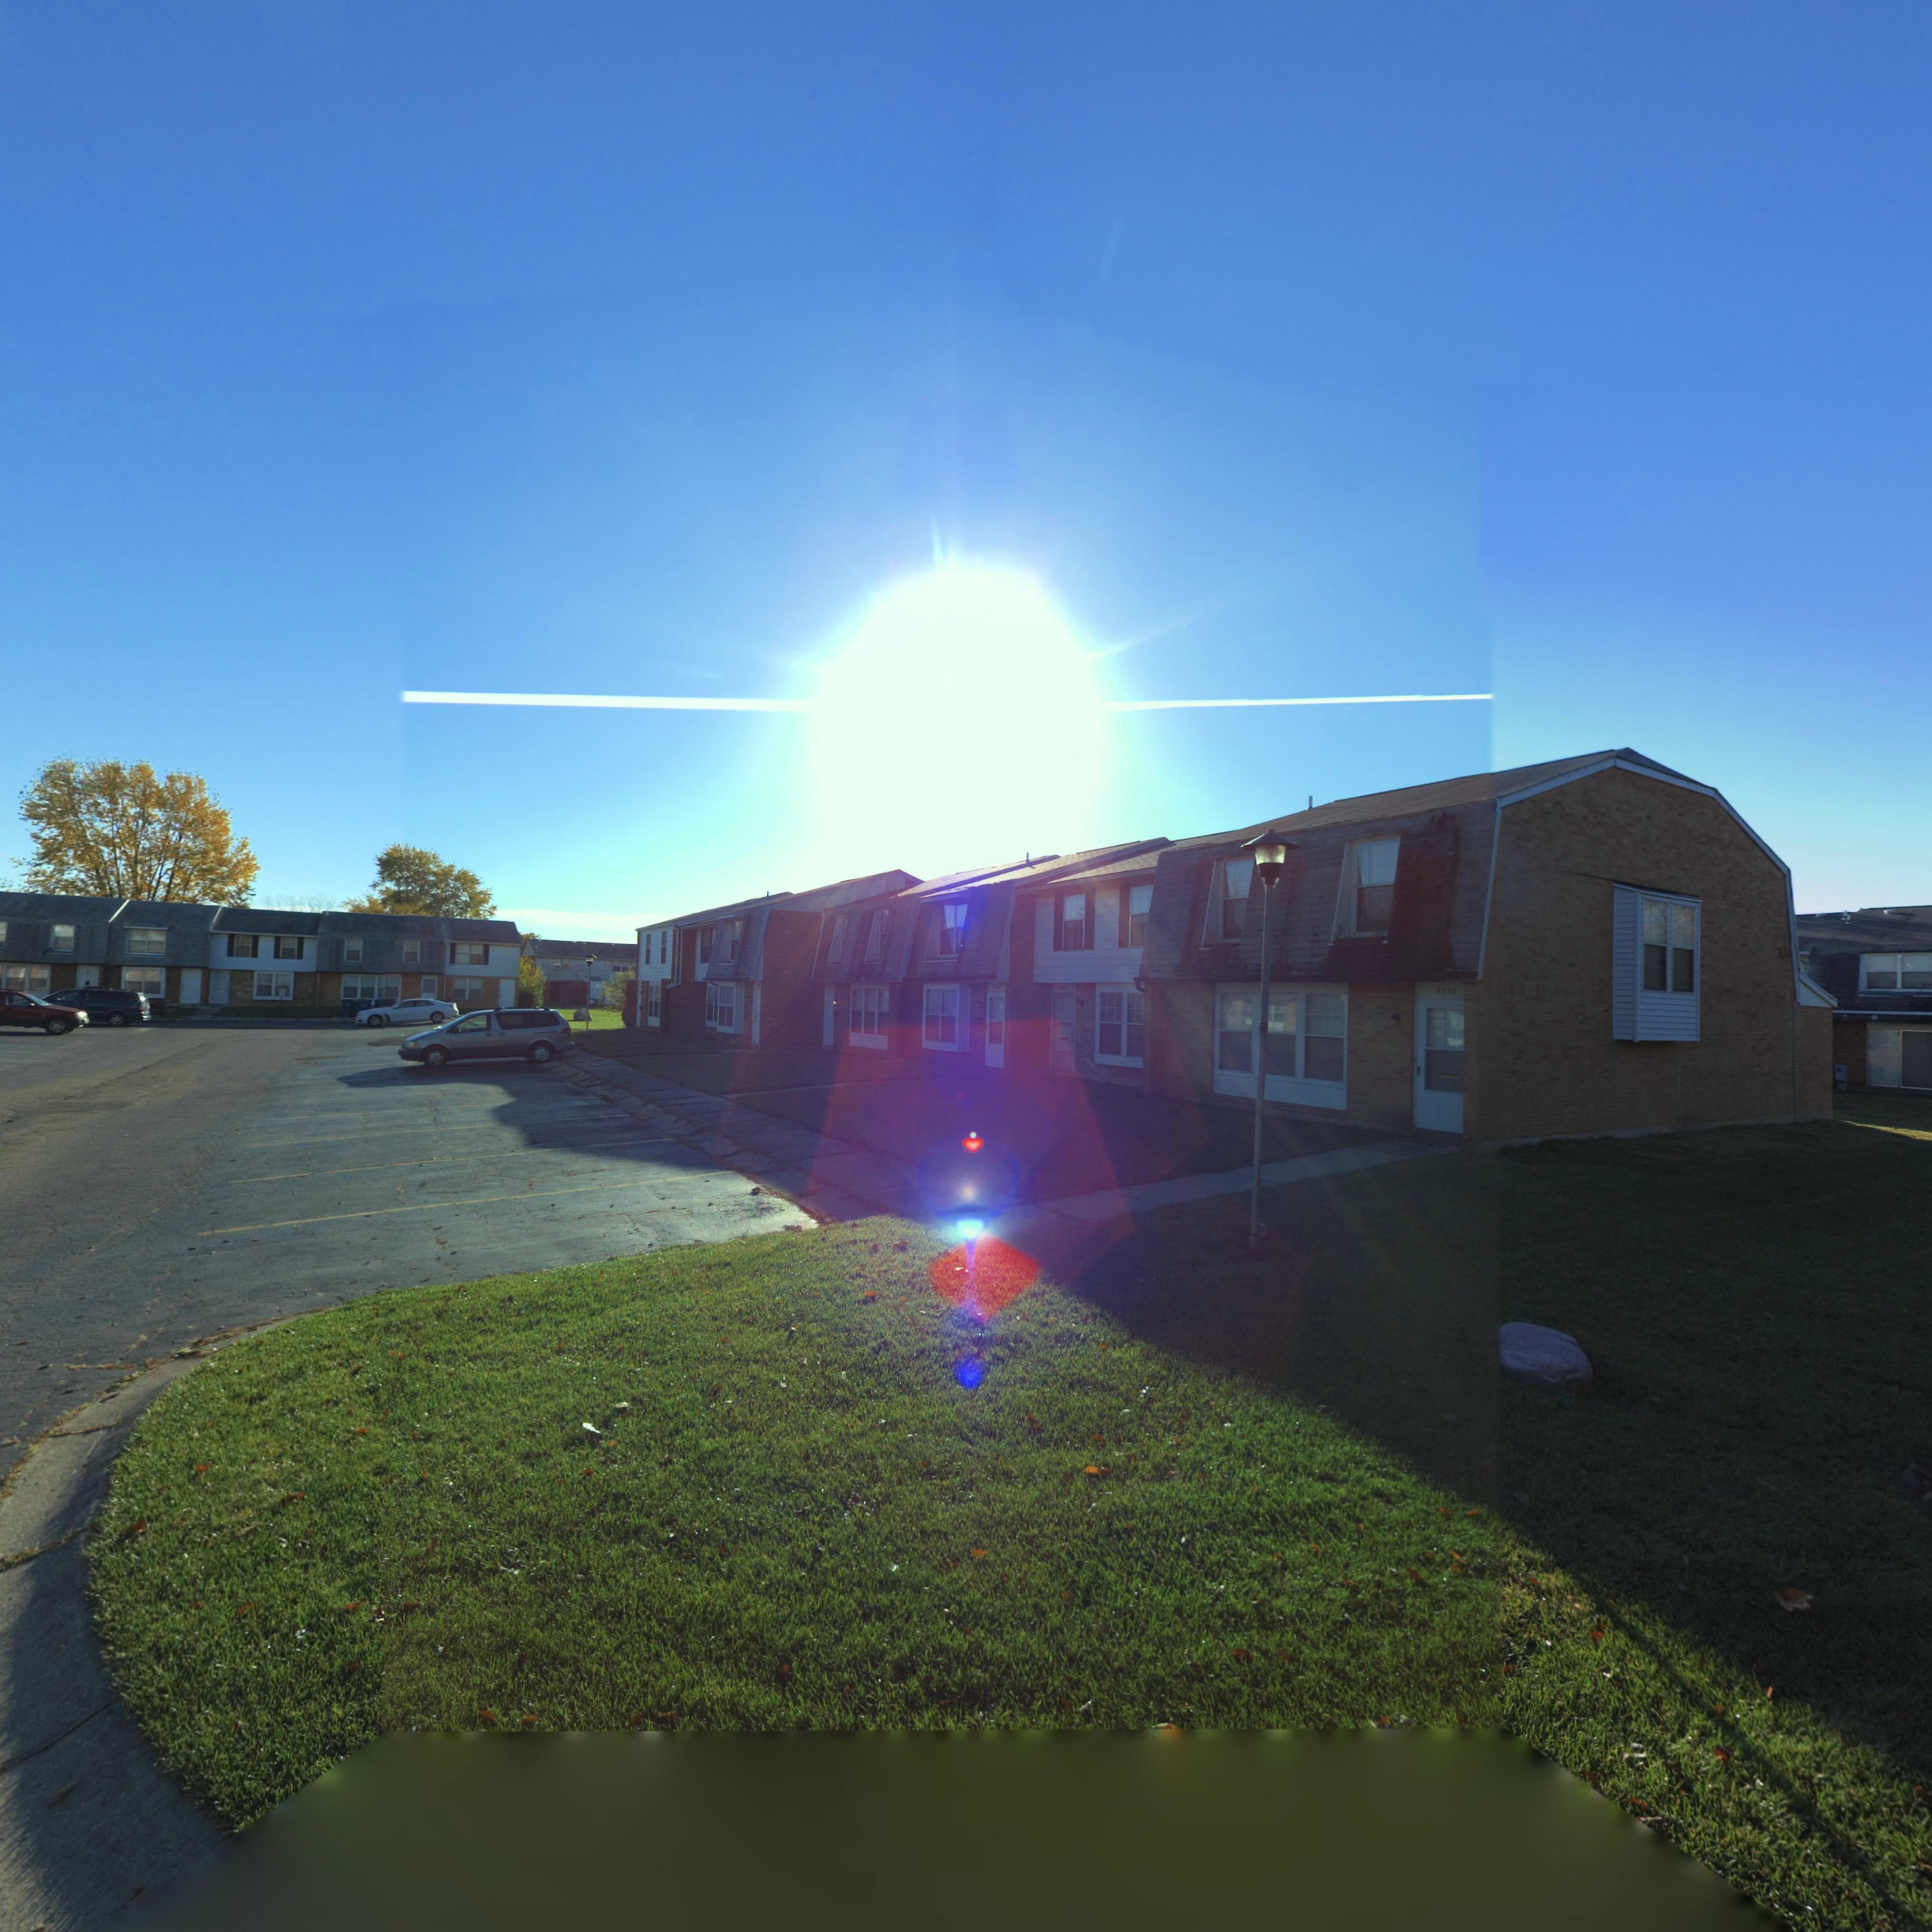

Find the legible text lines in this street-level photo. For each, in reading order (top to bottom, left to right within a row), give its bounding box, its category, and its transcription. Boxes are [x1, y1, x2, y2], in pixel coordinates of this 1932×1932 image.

[1436, 985, 1458, 995] StreetNumber: 7570